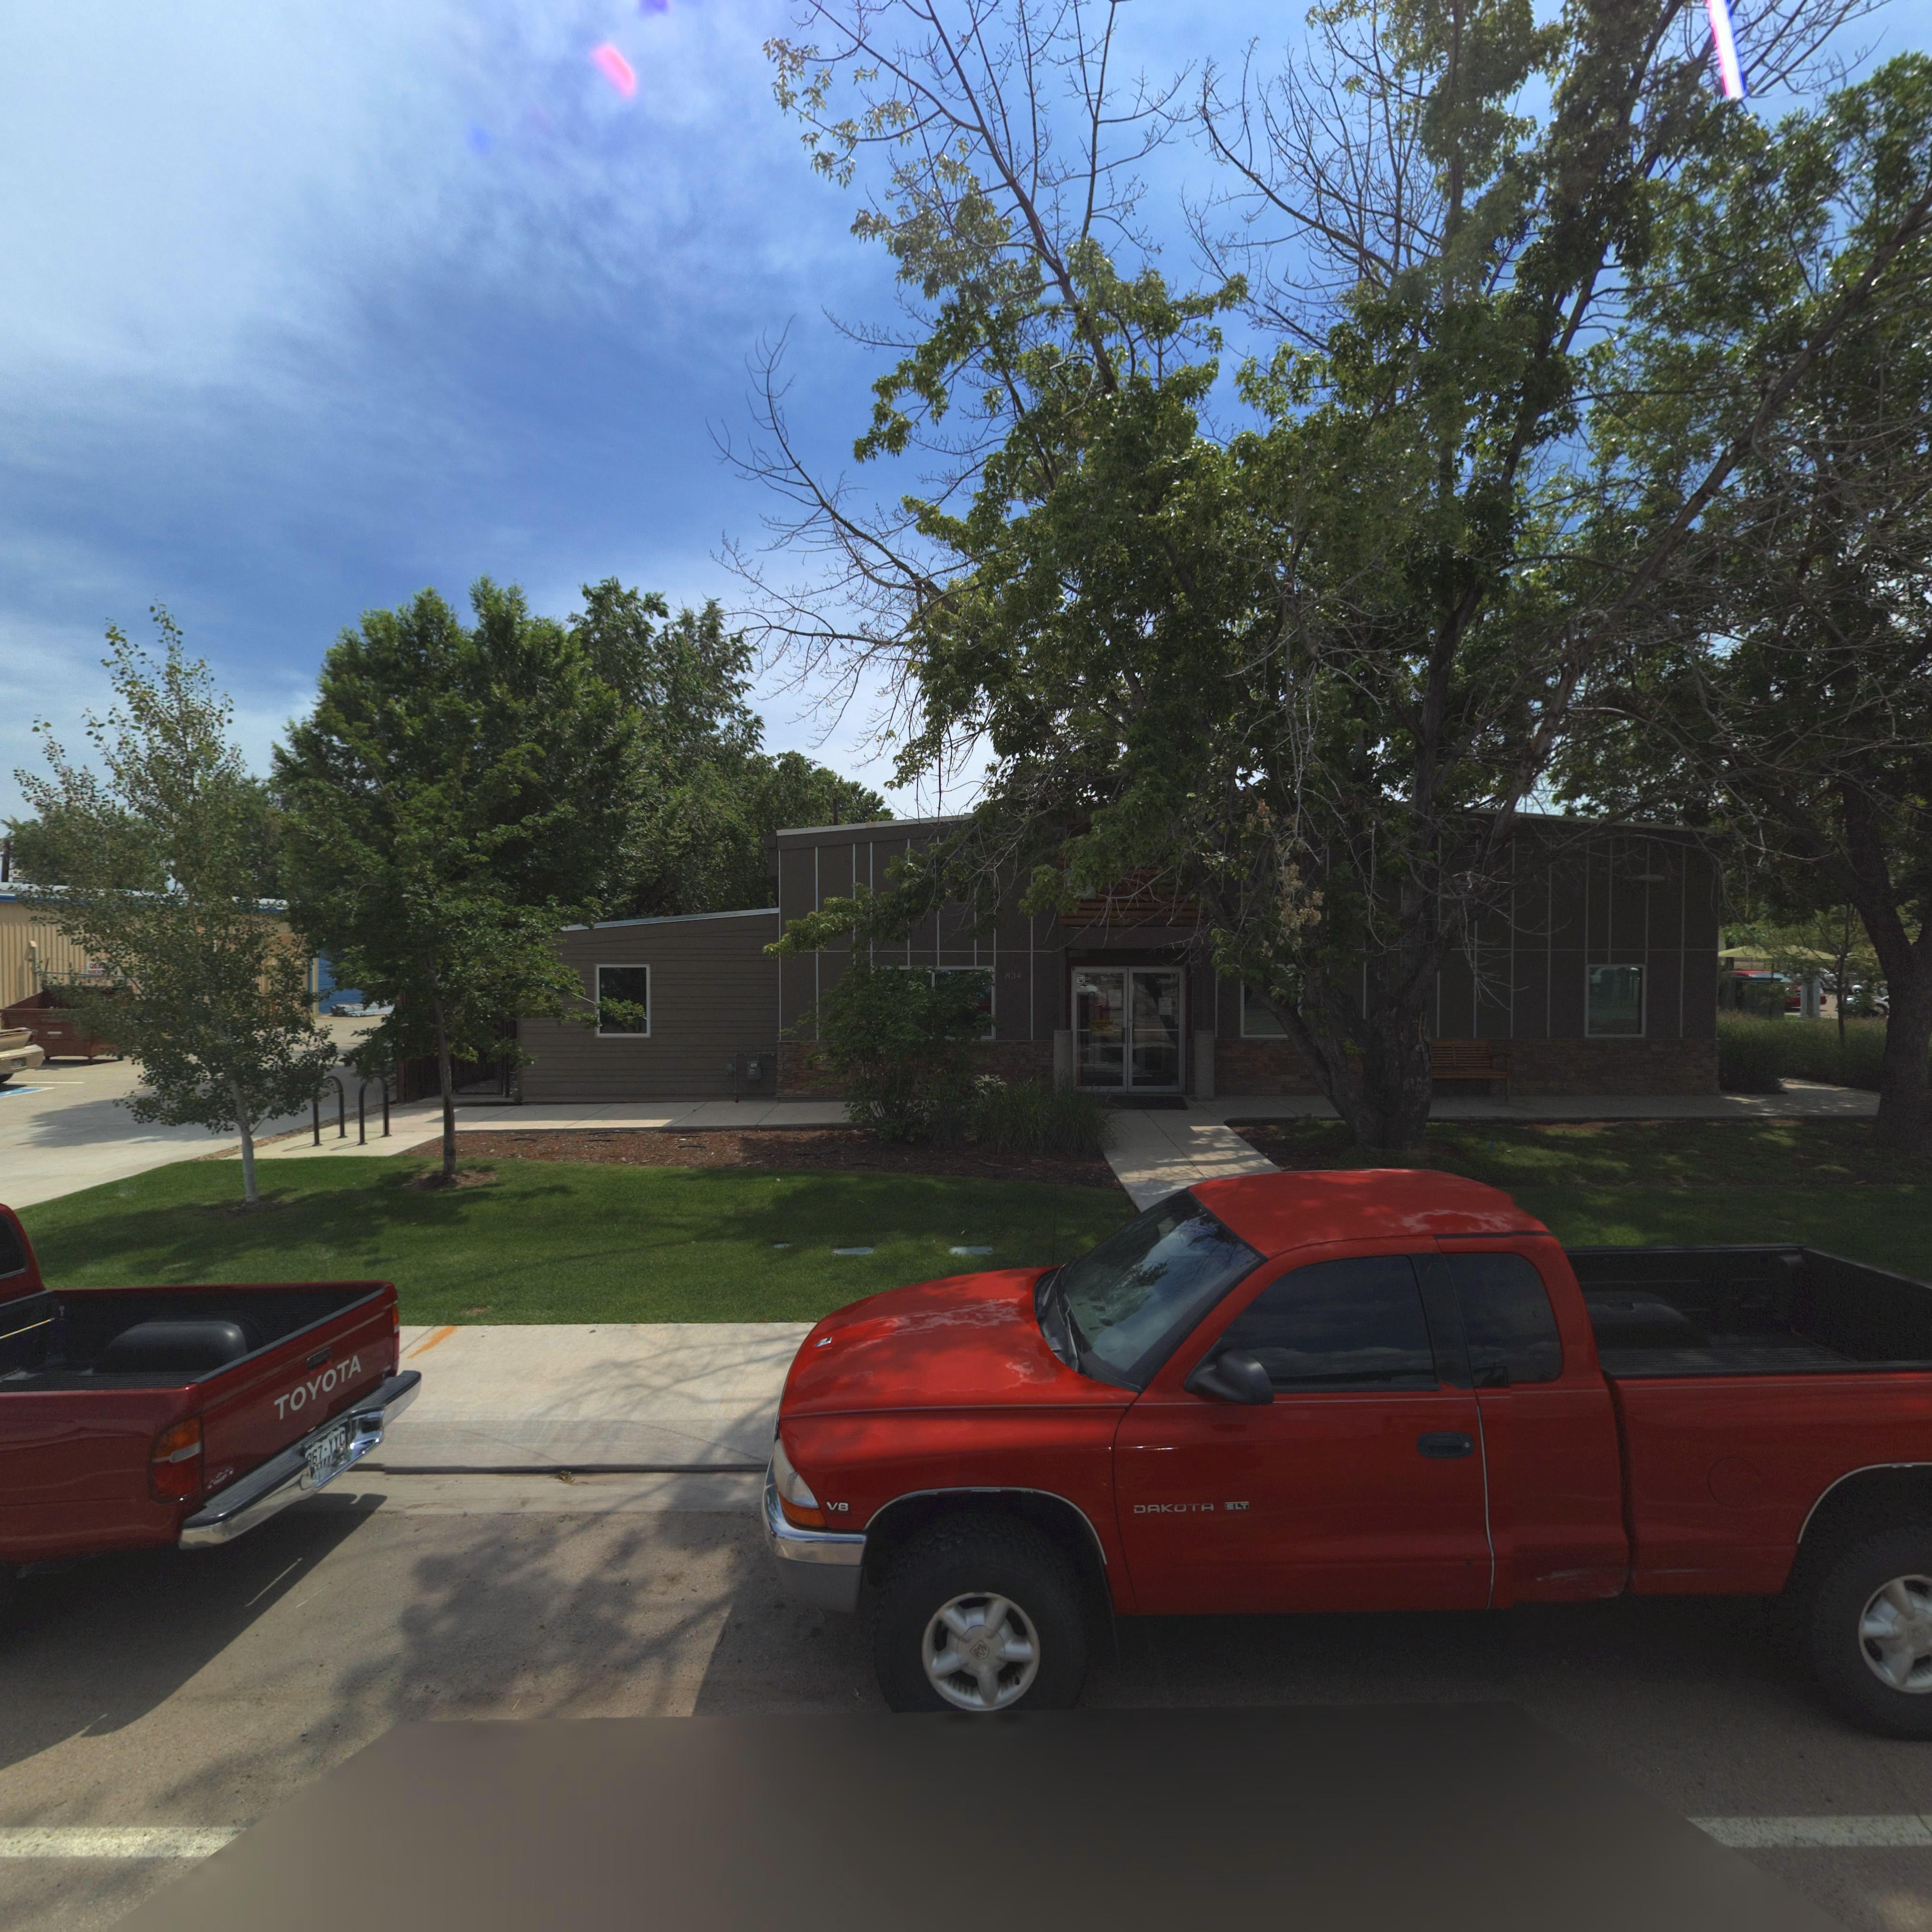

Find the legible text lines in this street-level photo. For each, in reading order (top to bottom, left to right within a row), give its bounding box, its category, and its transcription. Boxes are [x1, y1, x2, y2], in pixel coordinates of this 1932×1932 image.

[1005, 972, 1021, 980] StreetNumber: 834